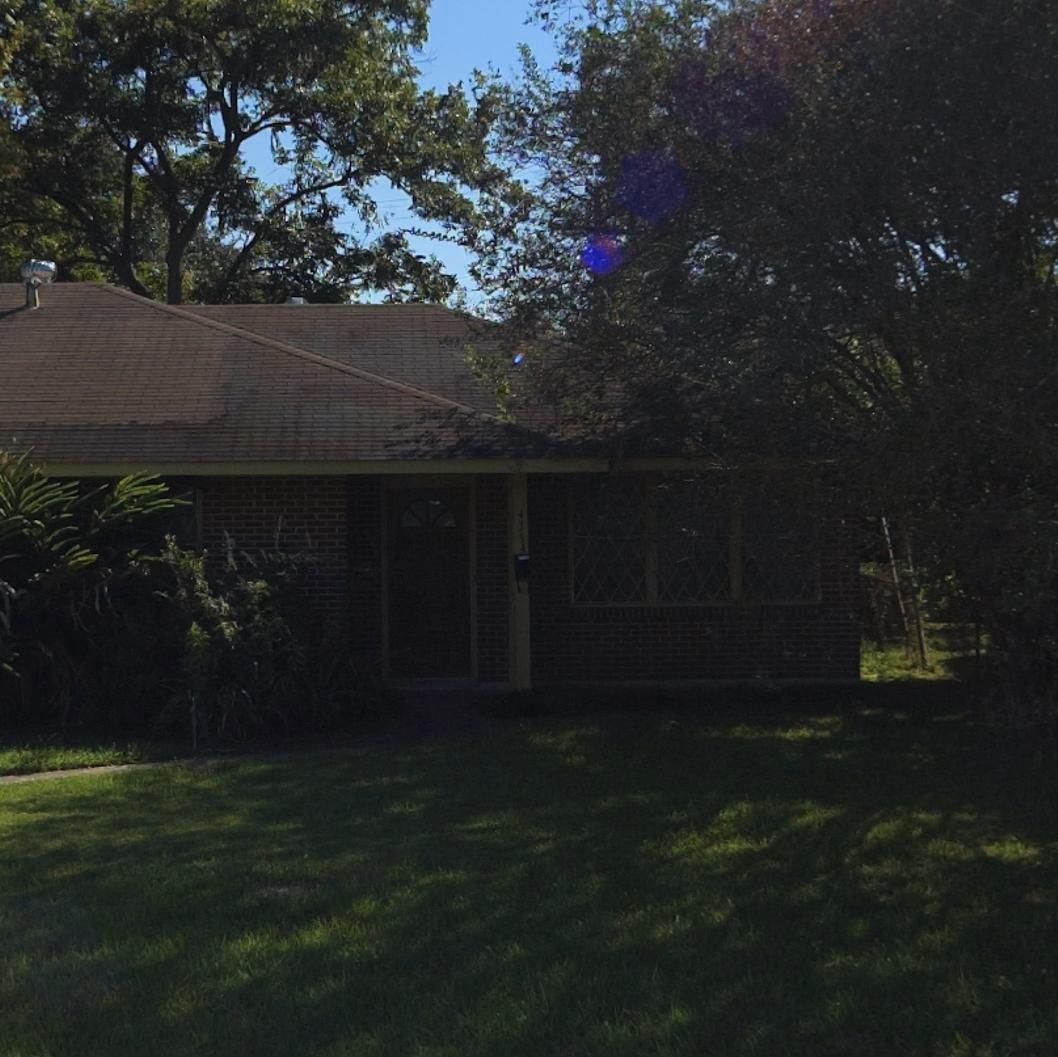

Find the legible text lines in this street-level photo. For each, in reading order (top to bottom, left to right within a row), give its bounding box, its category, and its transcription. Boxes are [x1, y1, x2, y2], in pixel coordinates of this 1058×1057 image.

[517, 508, 526, 554] StreetNumber: 4334